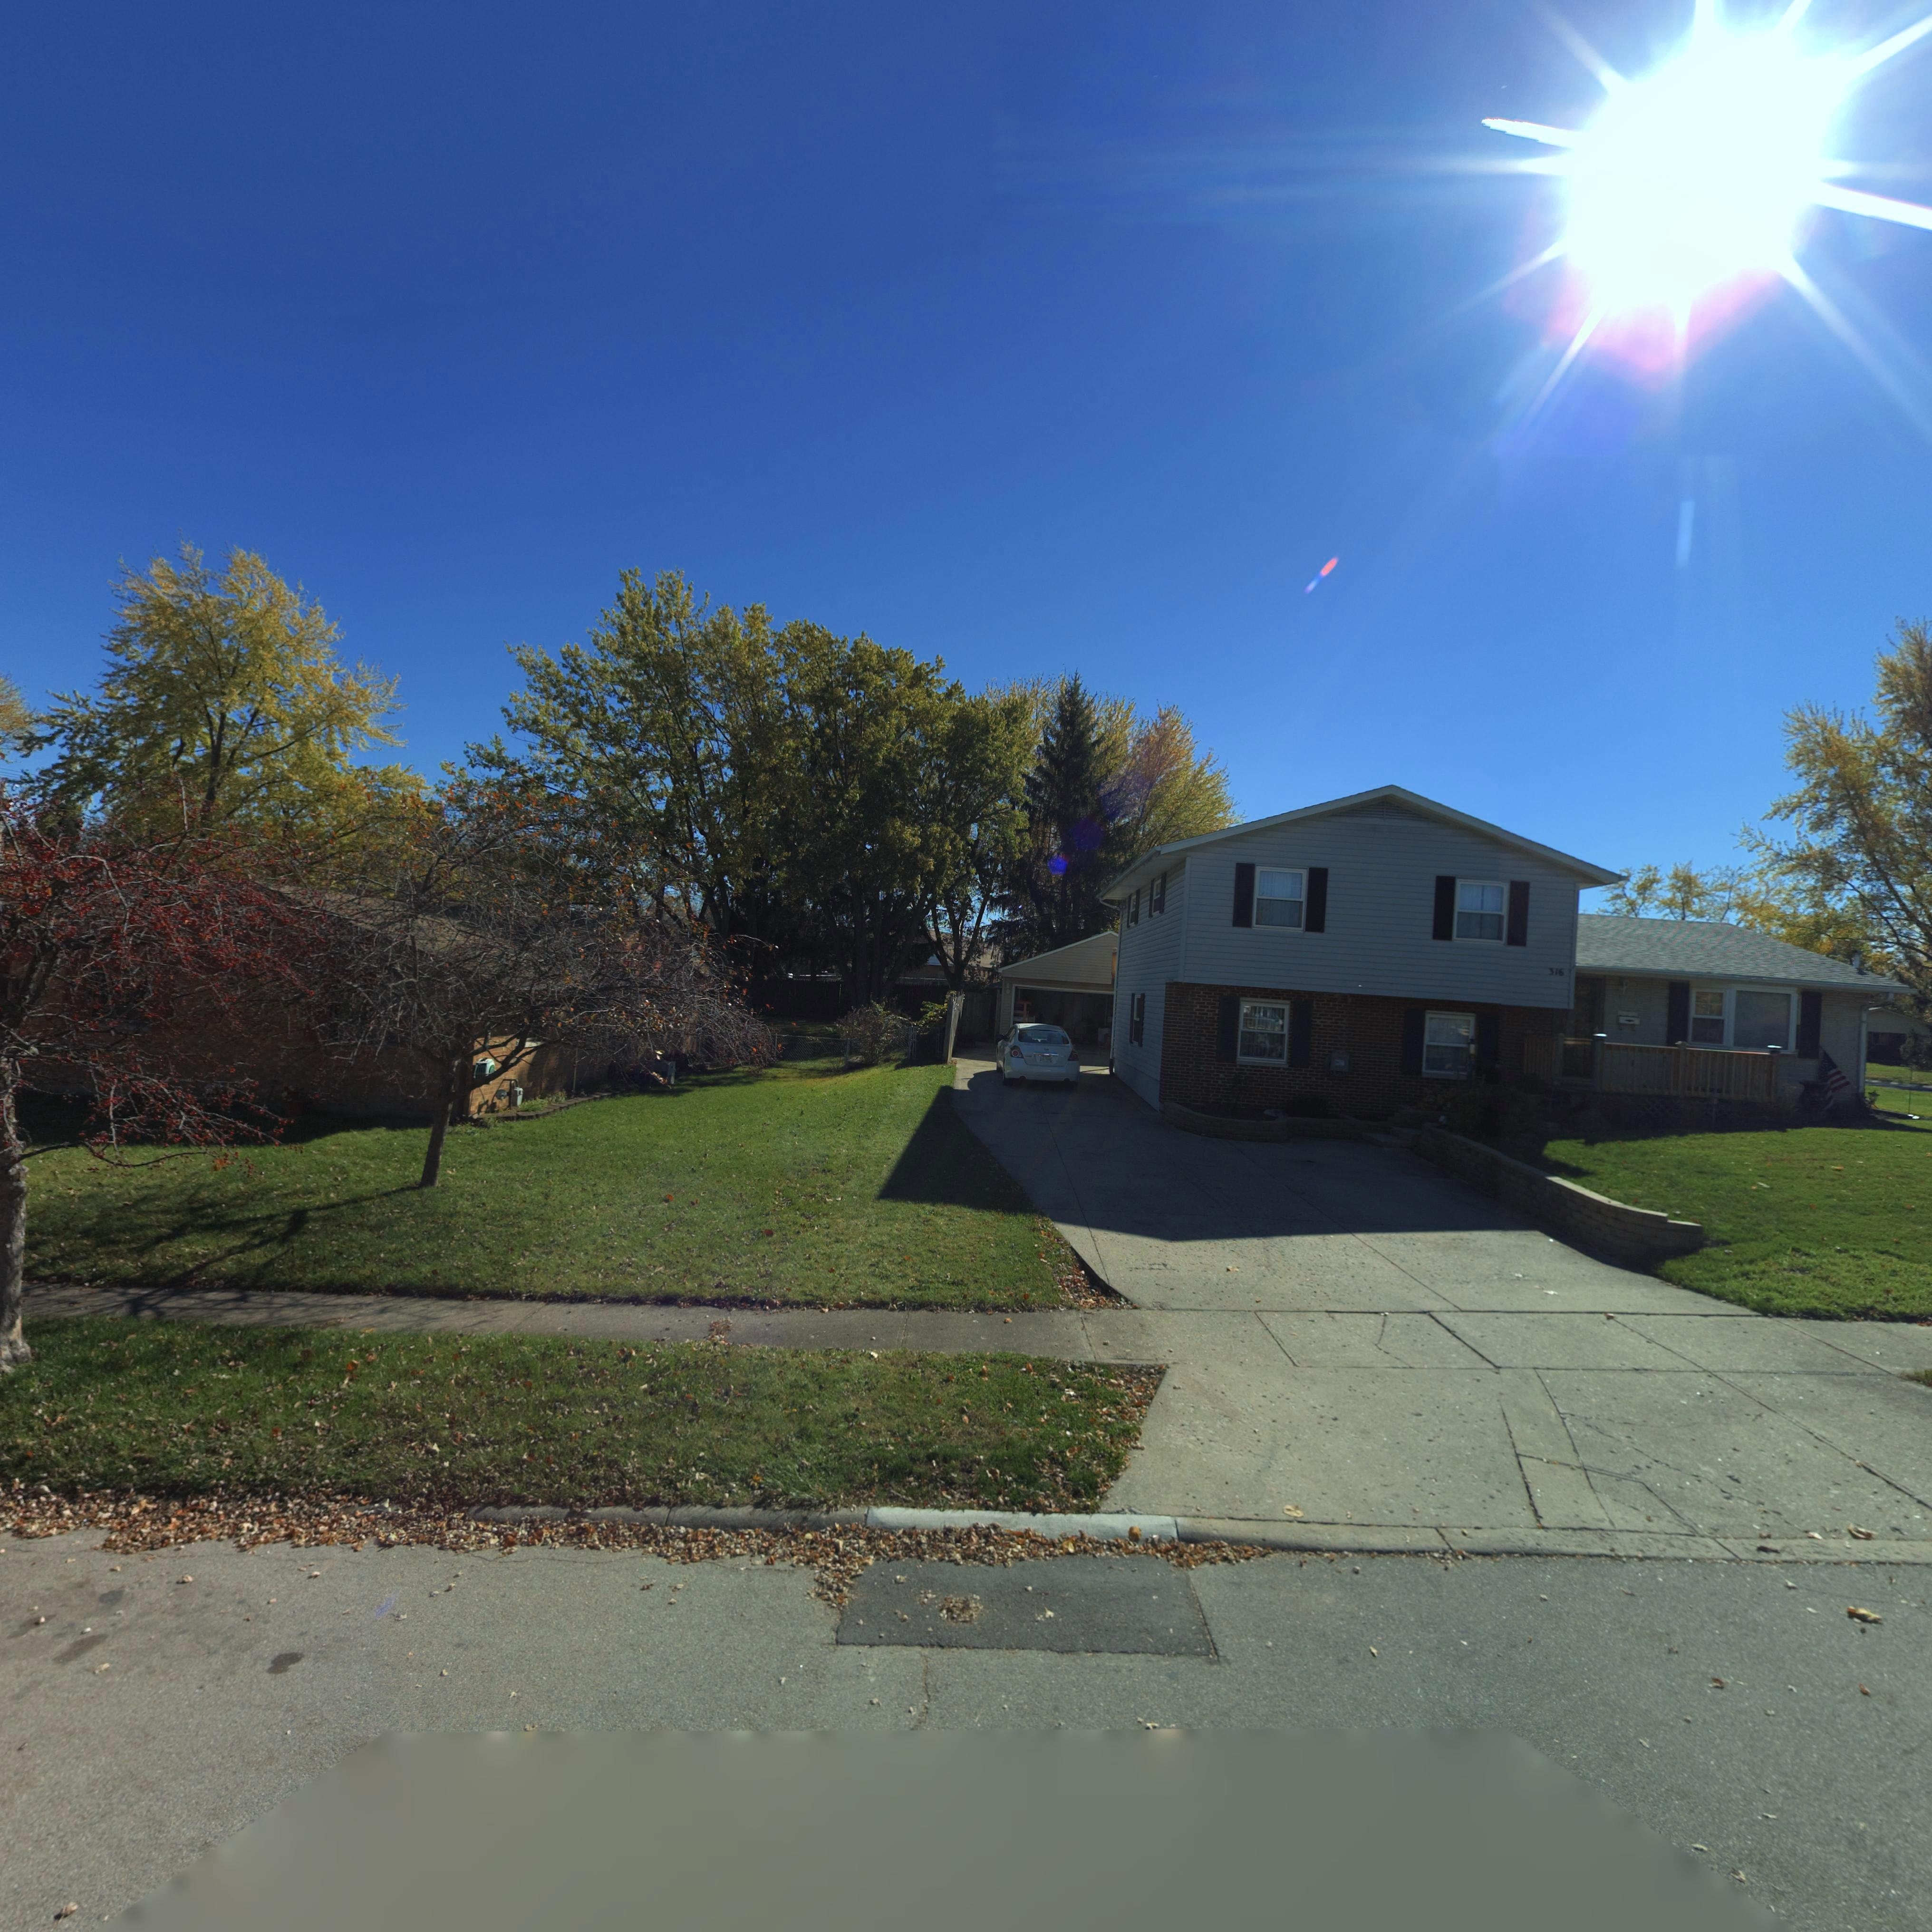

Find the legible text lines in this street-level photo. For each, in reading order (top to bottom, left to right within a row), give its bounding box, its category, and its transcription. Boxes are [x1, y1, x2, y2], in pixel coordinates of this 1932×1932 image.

[1546, 966, 1565, 977] StreetNumber: 316